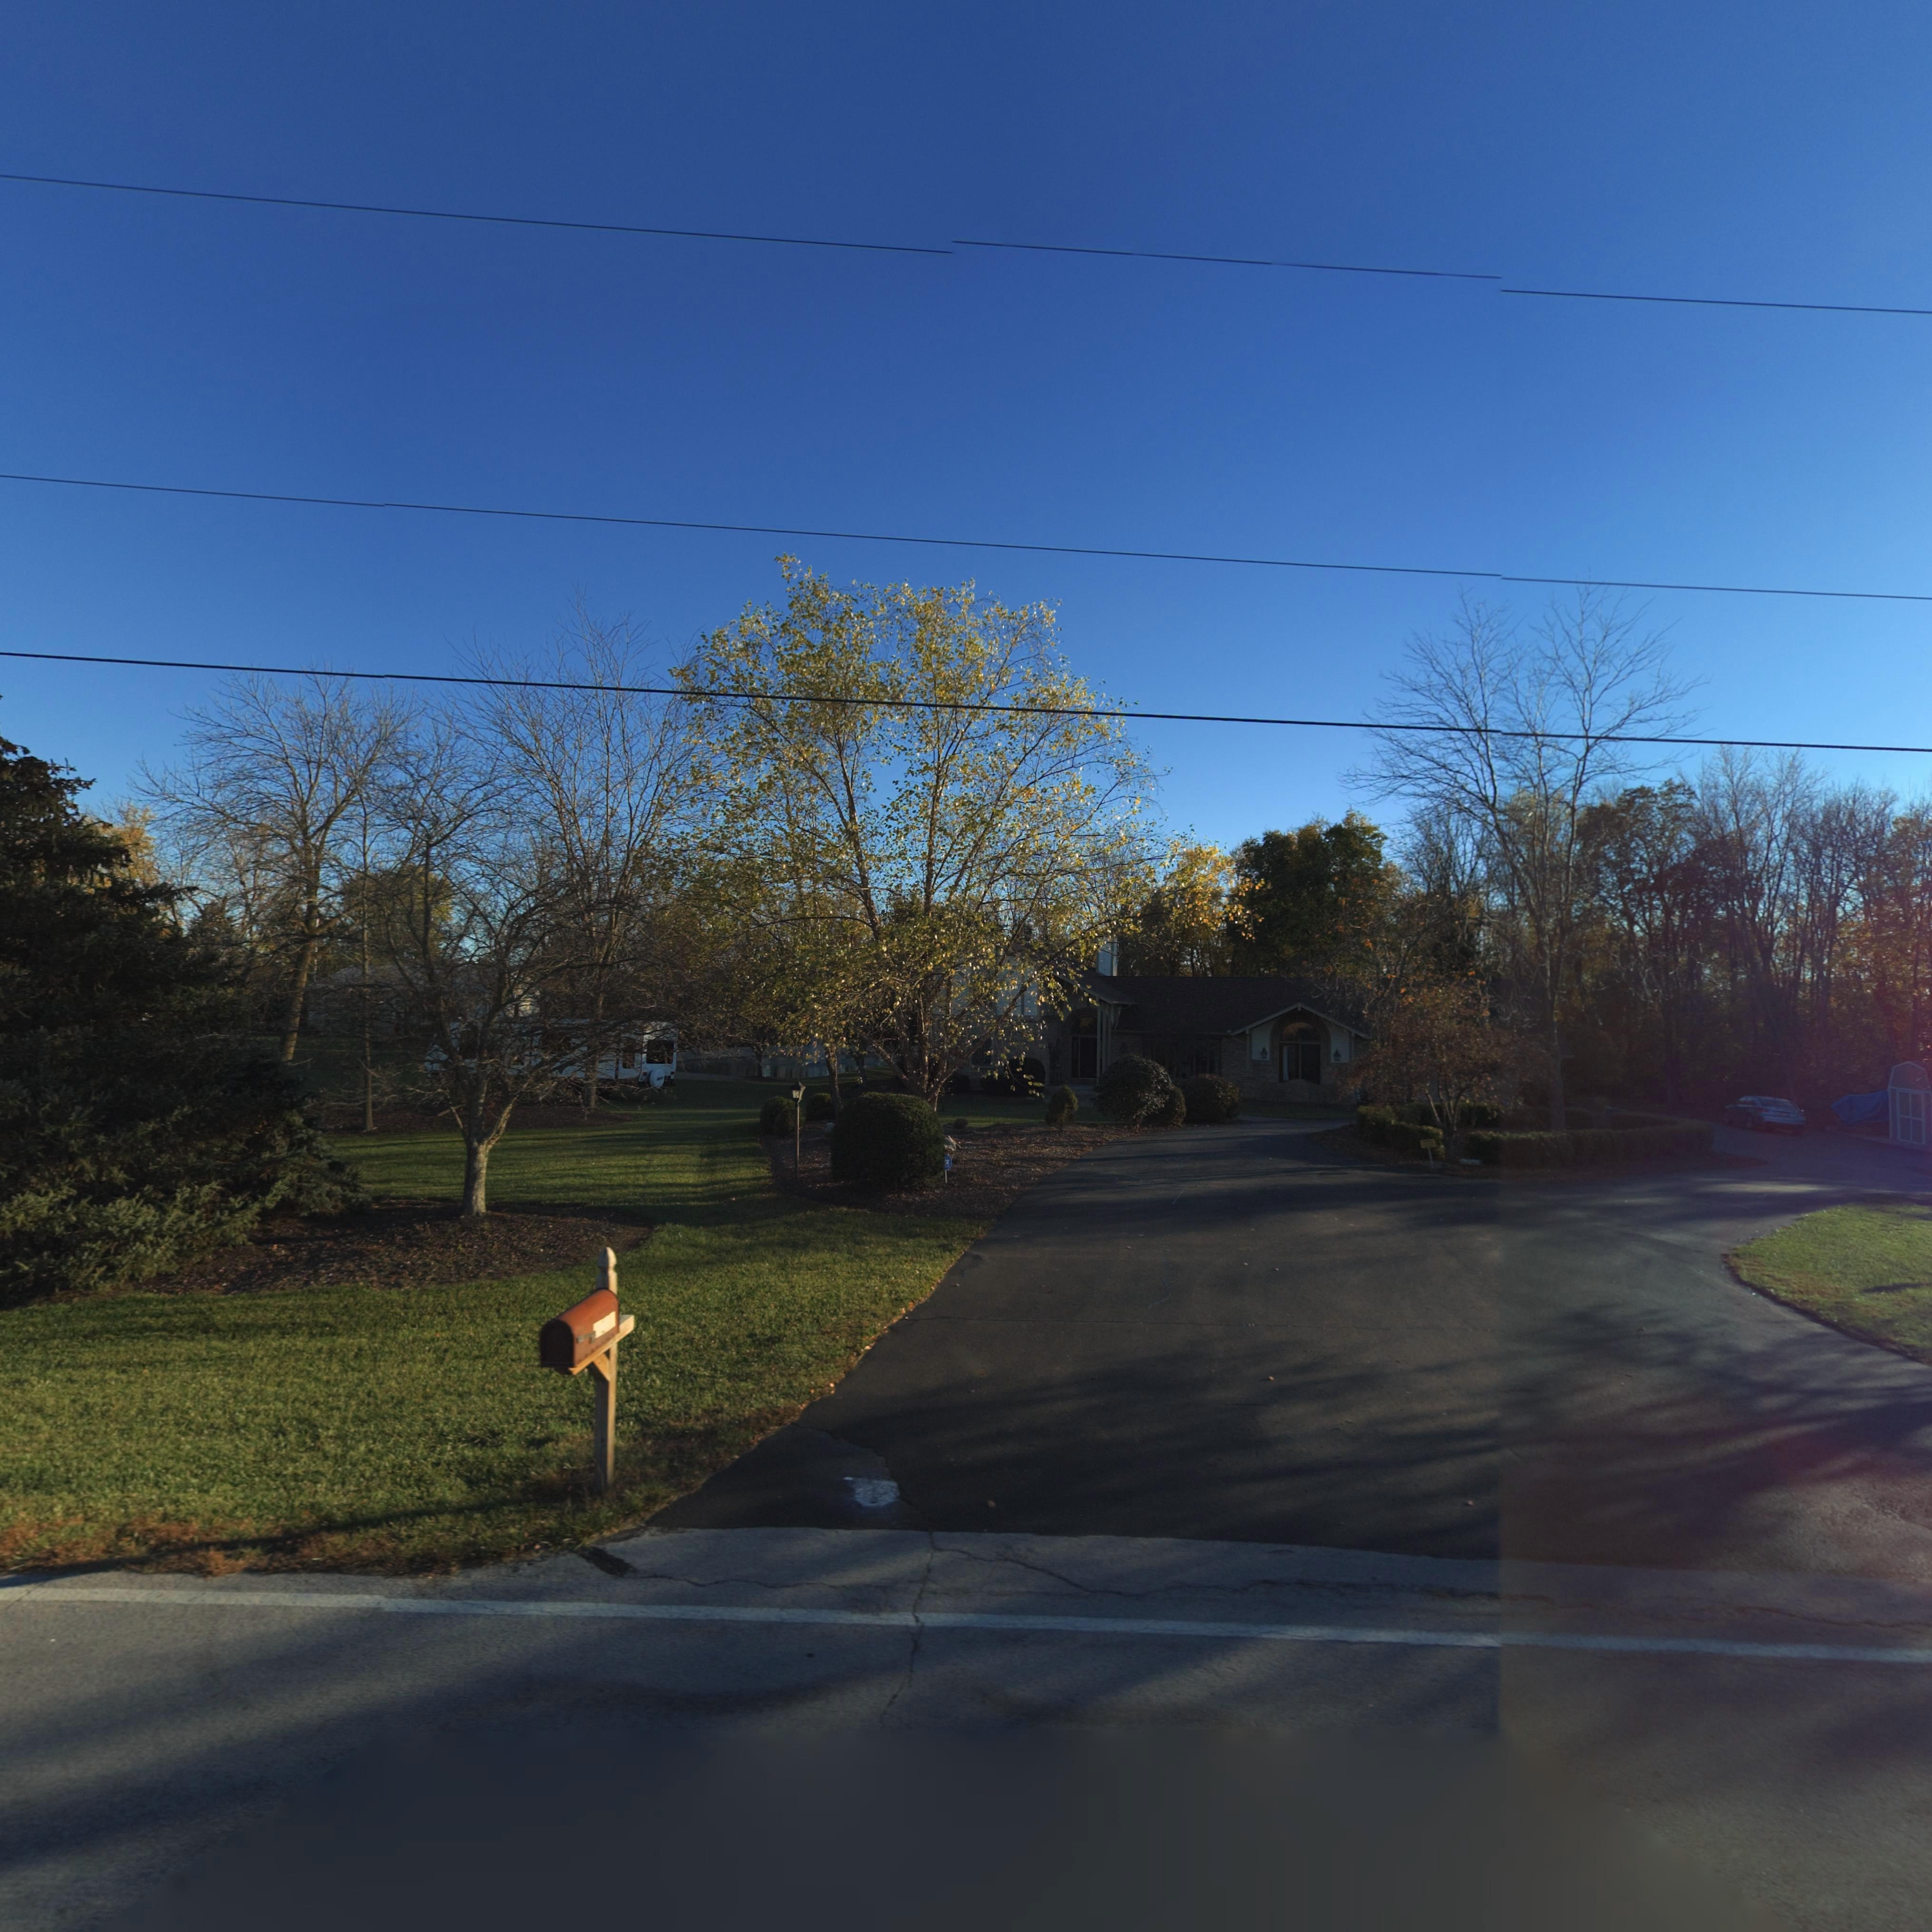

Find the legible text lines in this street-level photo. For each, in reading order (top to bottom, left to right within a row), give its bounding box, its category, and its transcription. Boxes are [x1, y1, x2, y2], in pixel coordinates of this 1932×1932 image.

[599, 1318, 605, 1334] StreetNumber: 2